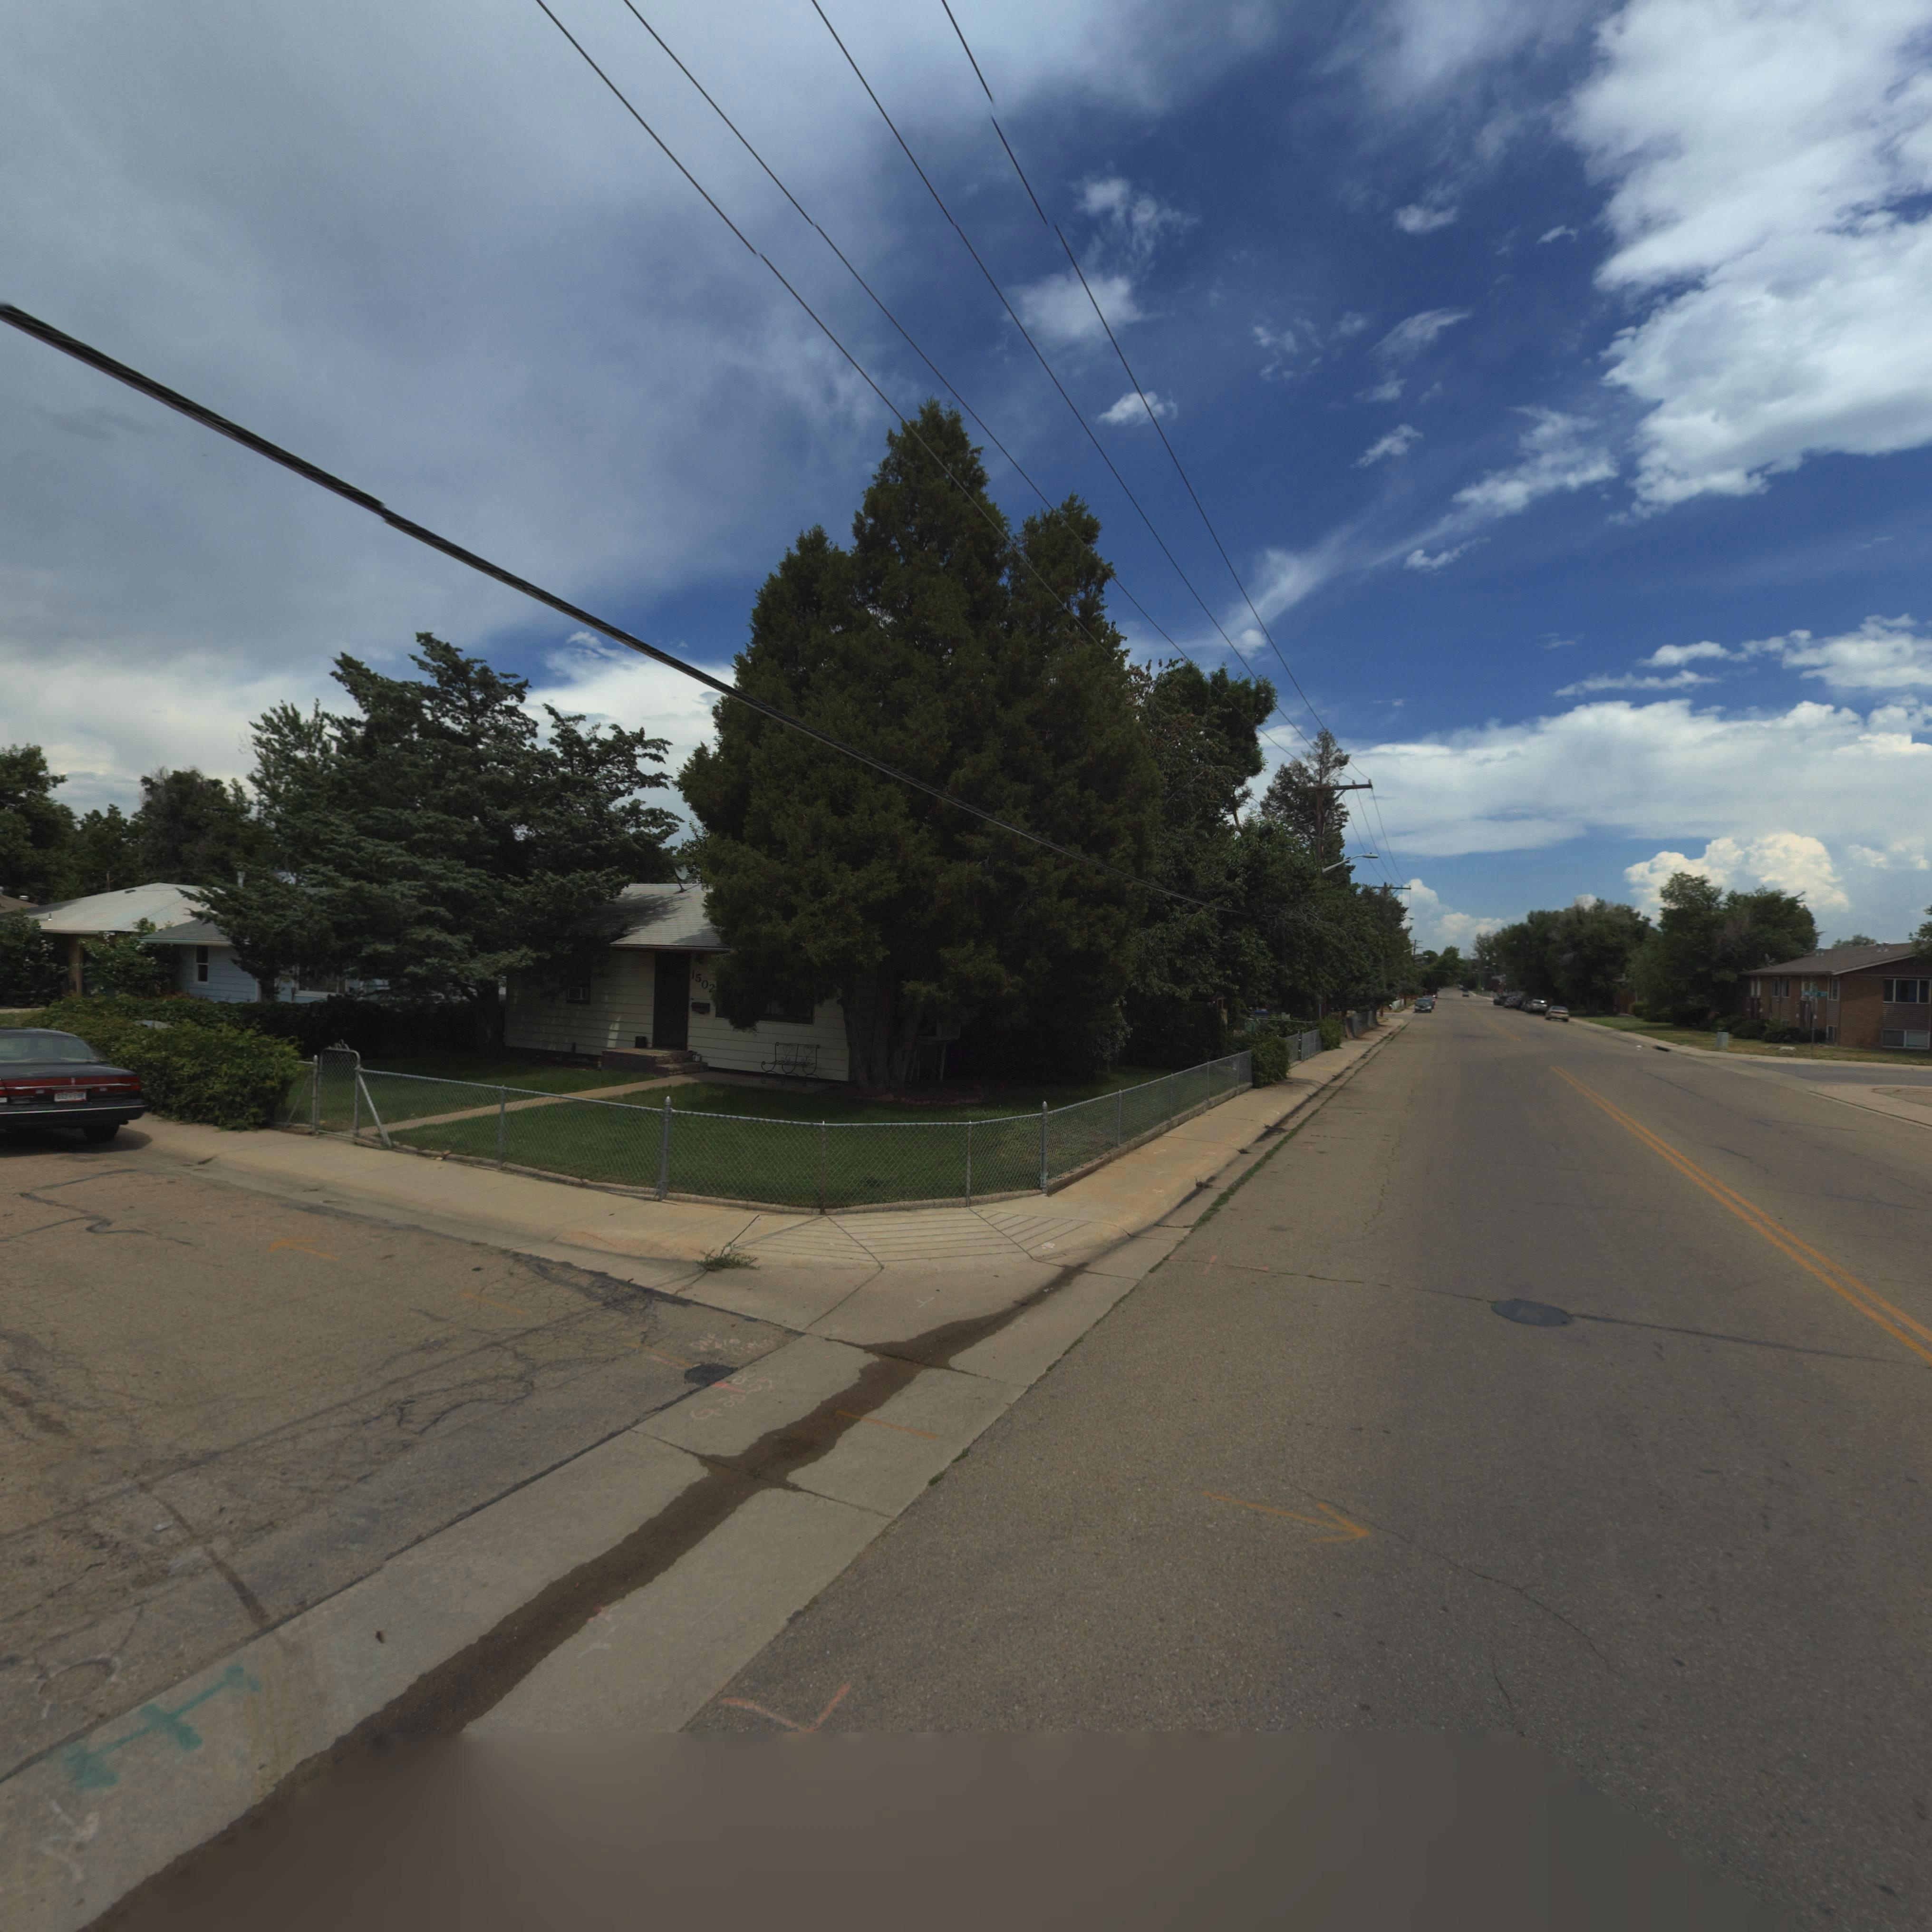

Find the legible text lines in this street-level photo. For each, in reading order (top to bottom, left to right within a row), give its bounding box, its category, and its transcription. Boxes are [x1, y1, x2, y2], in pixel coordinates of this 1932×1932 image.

[691, 969, 716, 993] StreetNumber: 1502